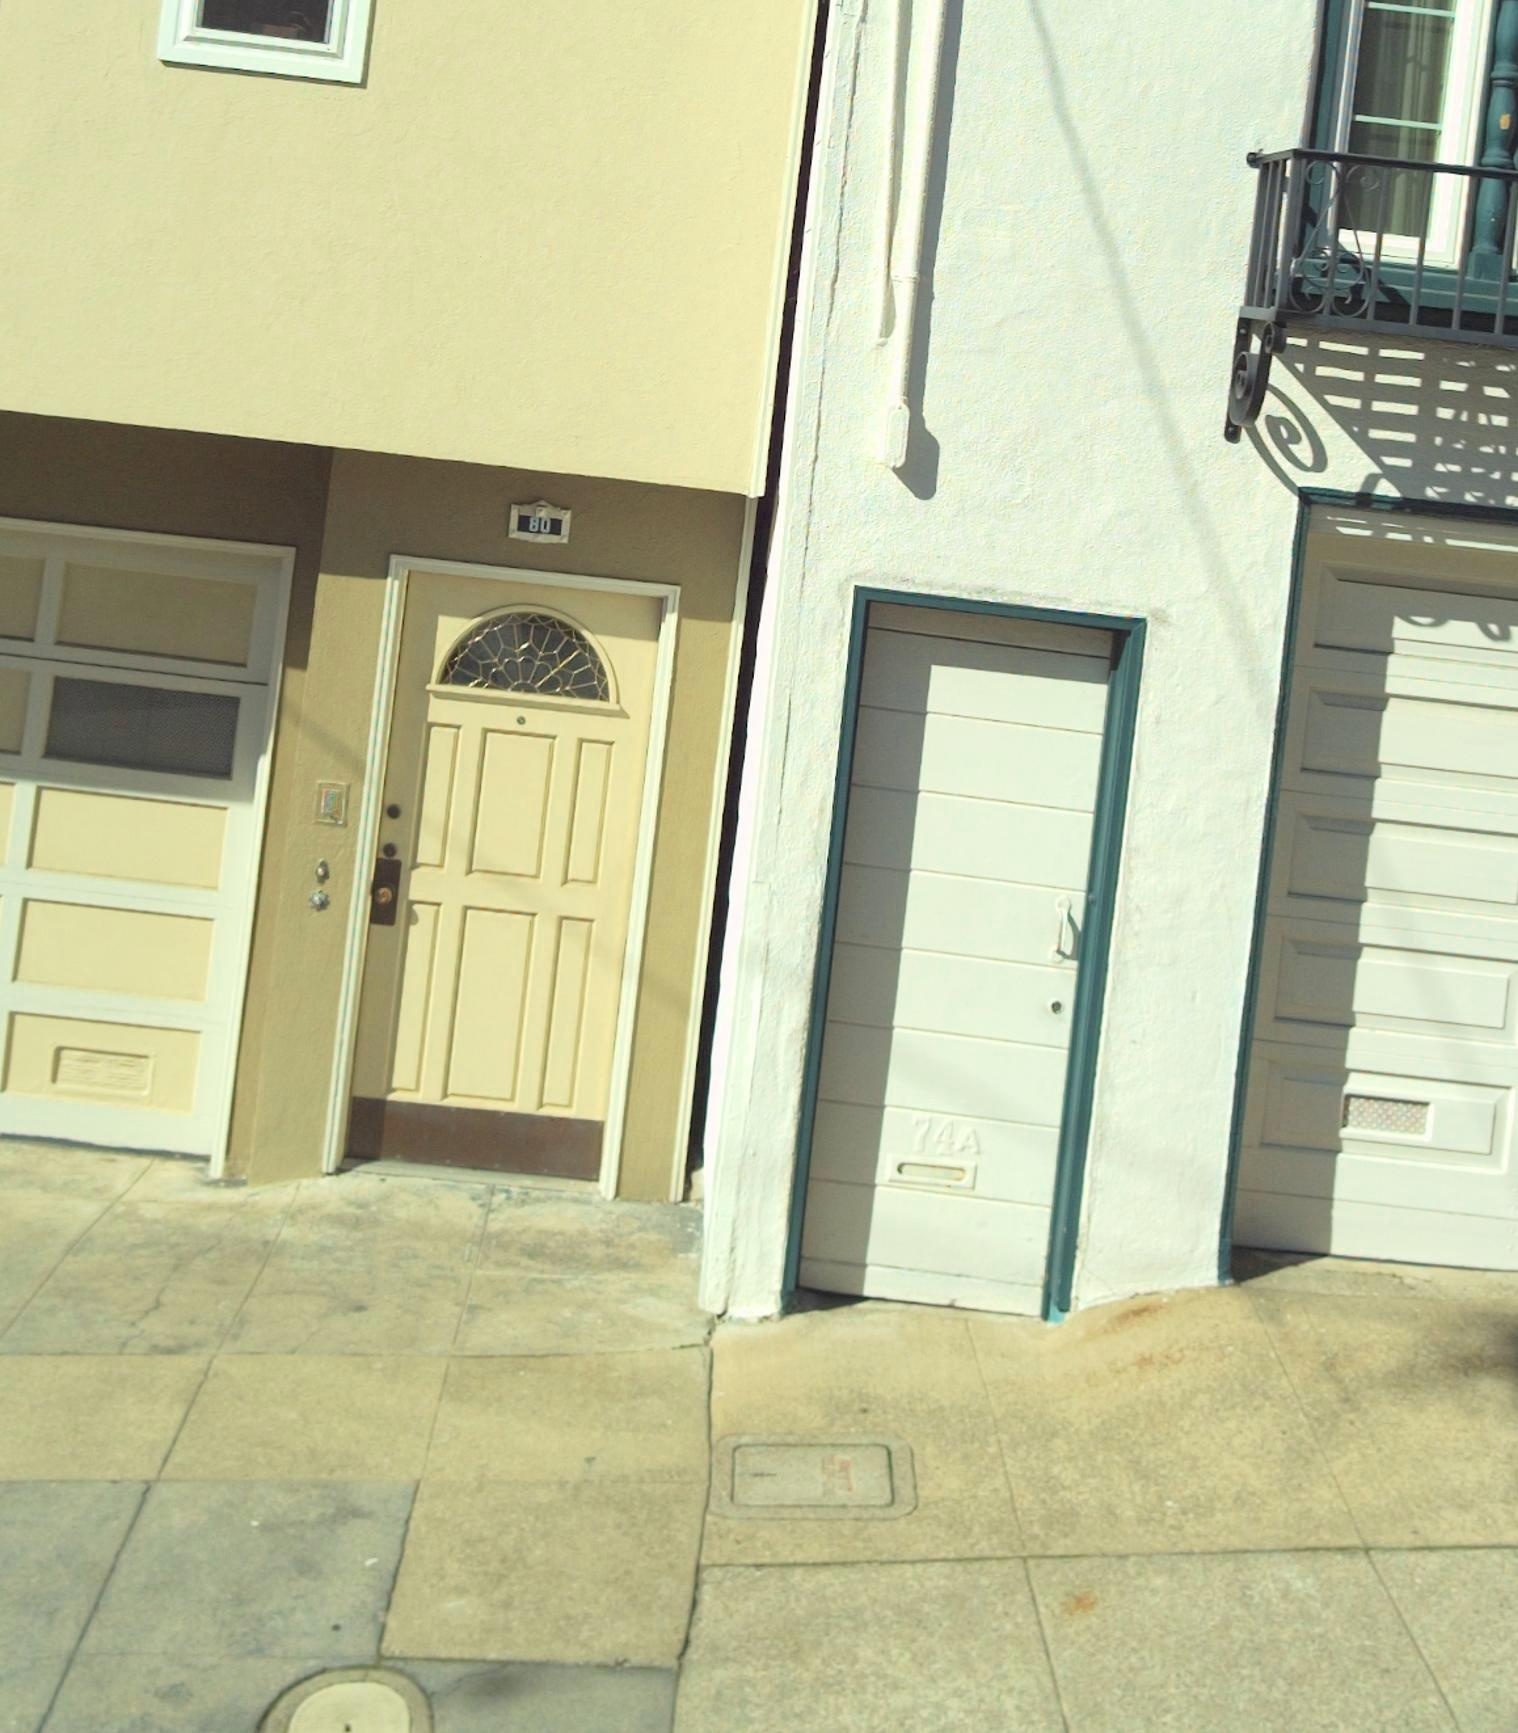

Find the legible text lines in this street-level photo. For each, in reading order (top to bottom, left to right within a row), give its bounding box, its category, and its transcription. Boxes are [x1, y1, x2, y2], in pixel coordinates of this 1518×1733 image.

[527, 516, 552, 534] StreetNumber: 80
[909, 1112, 983, 1157] StreetNumber: 74A